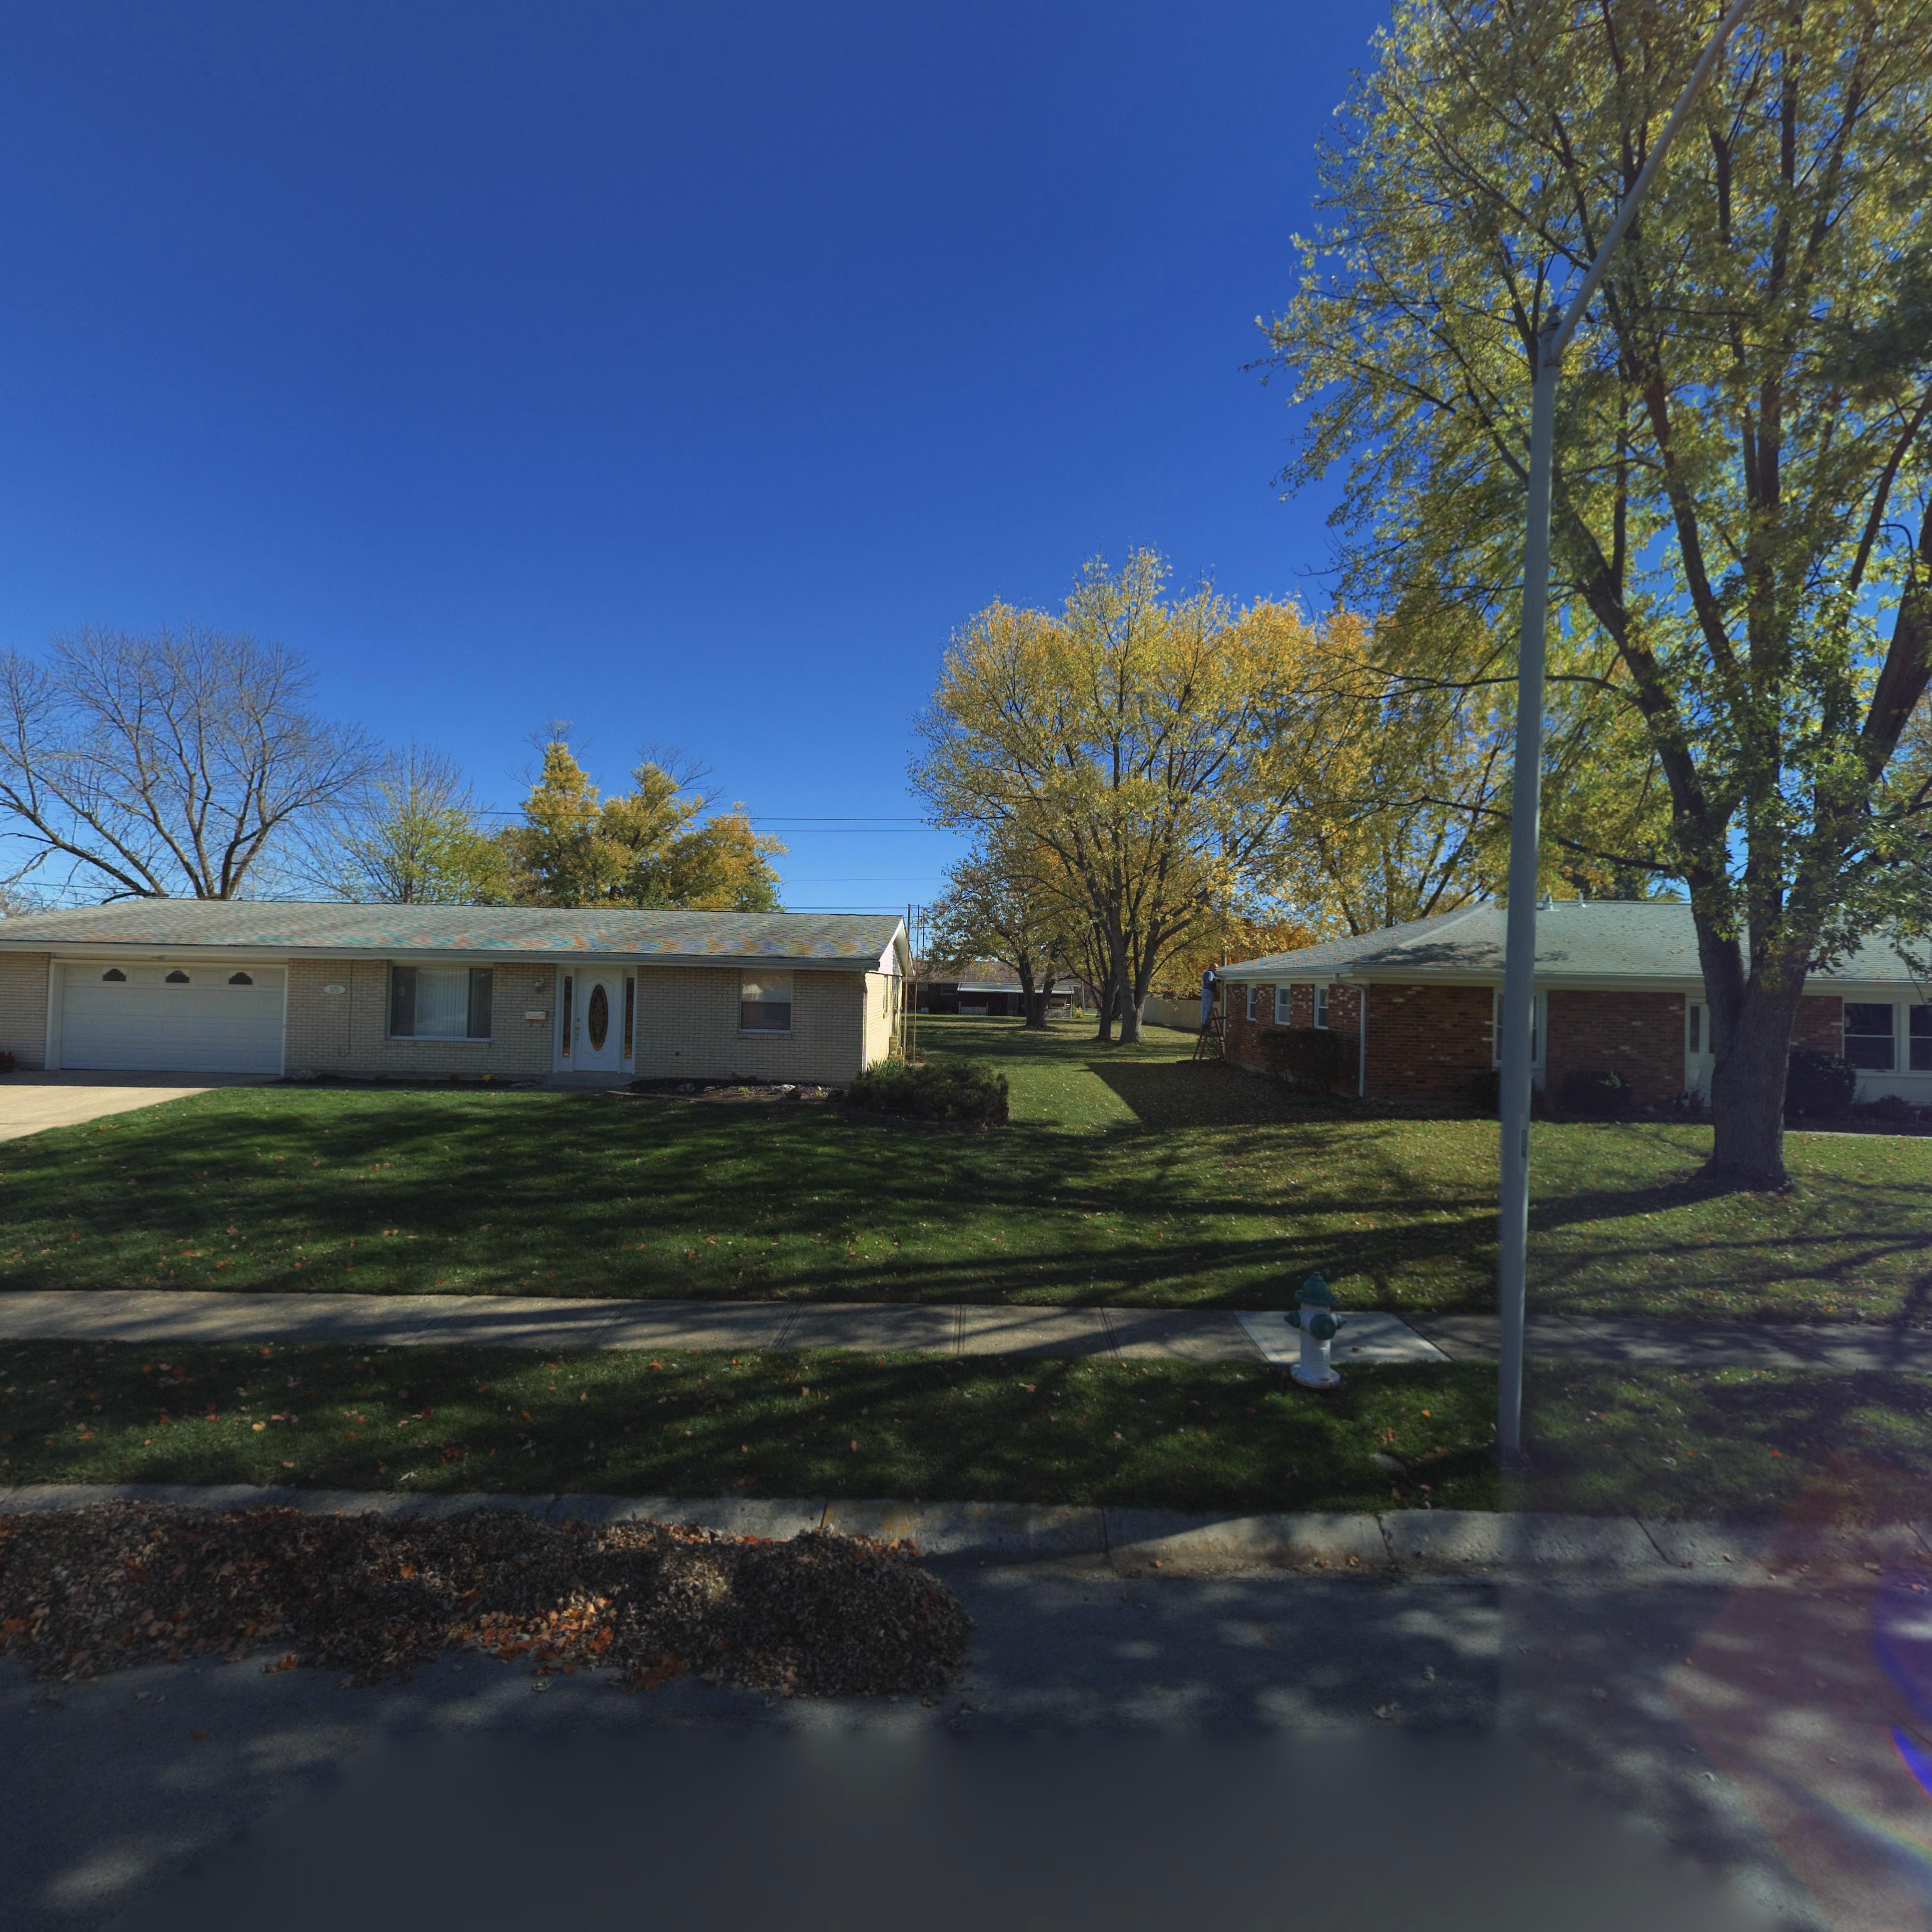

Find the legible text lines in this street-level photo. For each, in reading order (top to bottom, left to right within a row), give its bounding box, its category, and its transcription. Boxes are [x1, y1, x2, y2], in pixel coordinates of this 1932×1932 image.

[329, 985, 339, 994] StreetNumber: 175